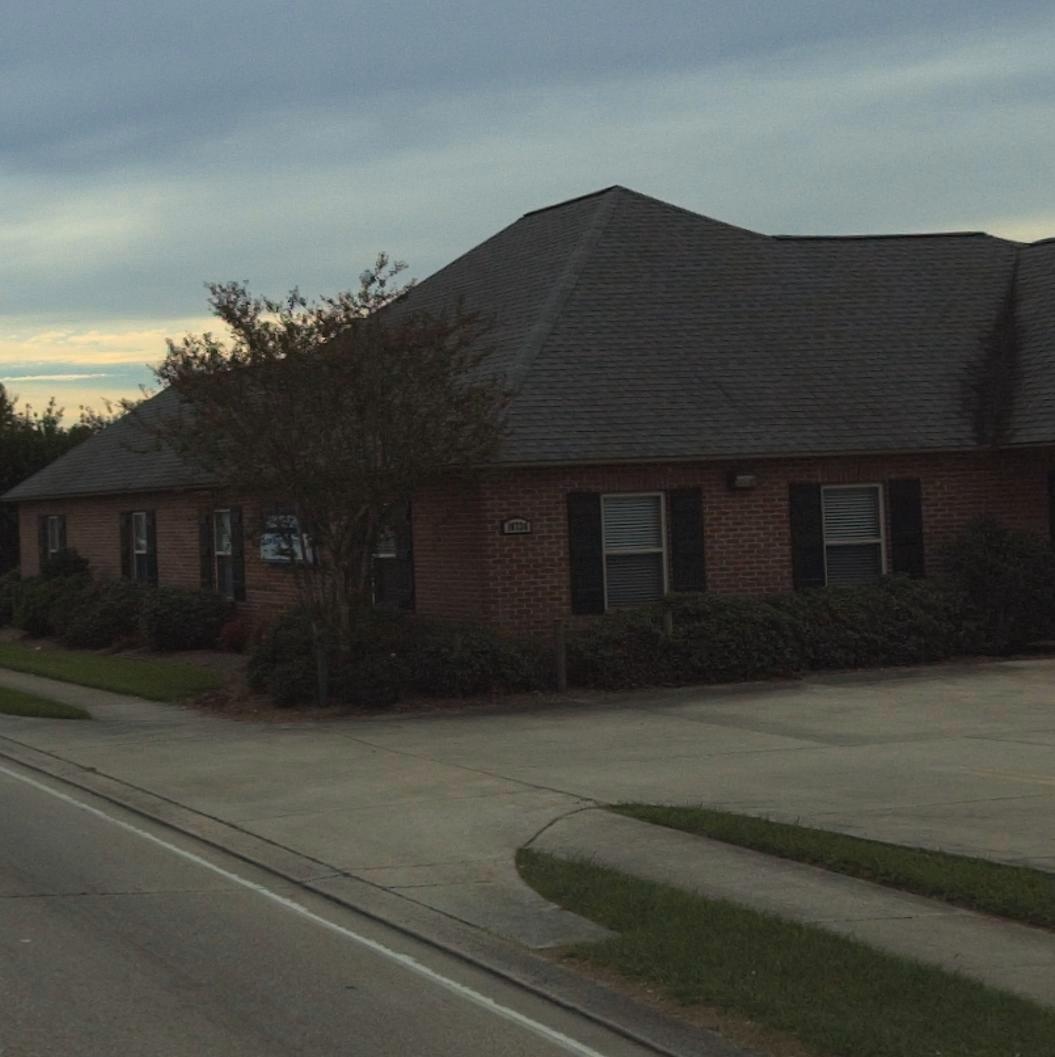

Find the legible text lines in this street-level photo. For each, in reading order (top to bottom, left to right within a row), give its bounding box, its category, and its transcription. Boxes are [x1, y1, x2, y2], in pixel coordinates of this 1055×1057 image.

[507, 521, 528, 531] StreetNumber: 16734